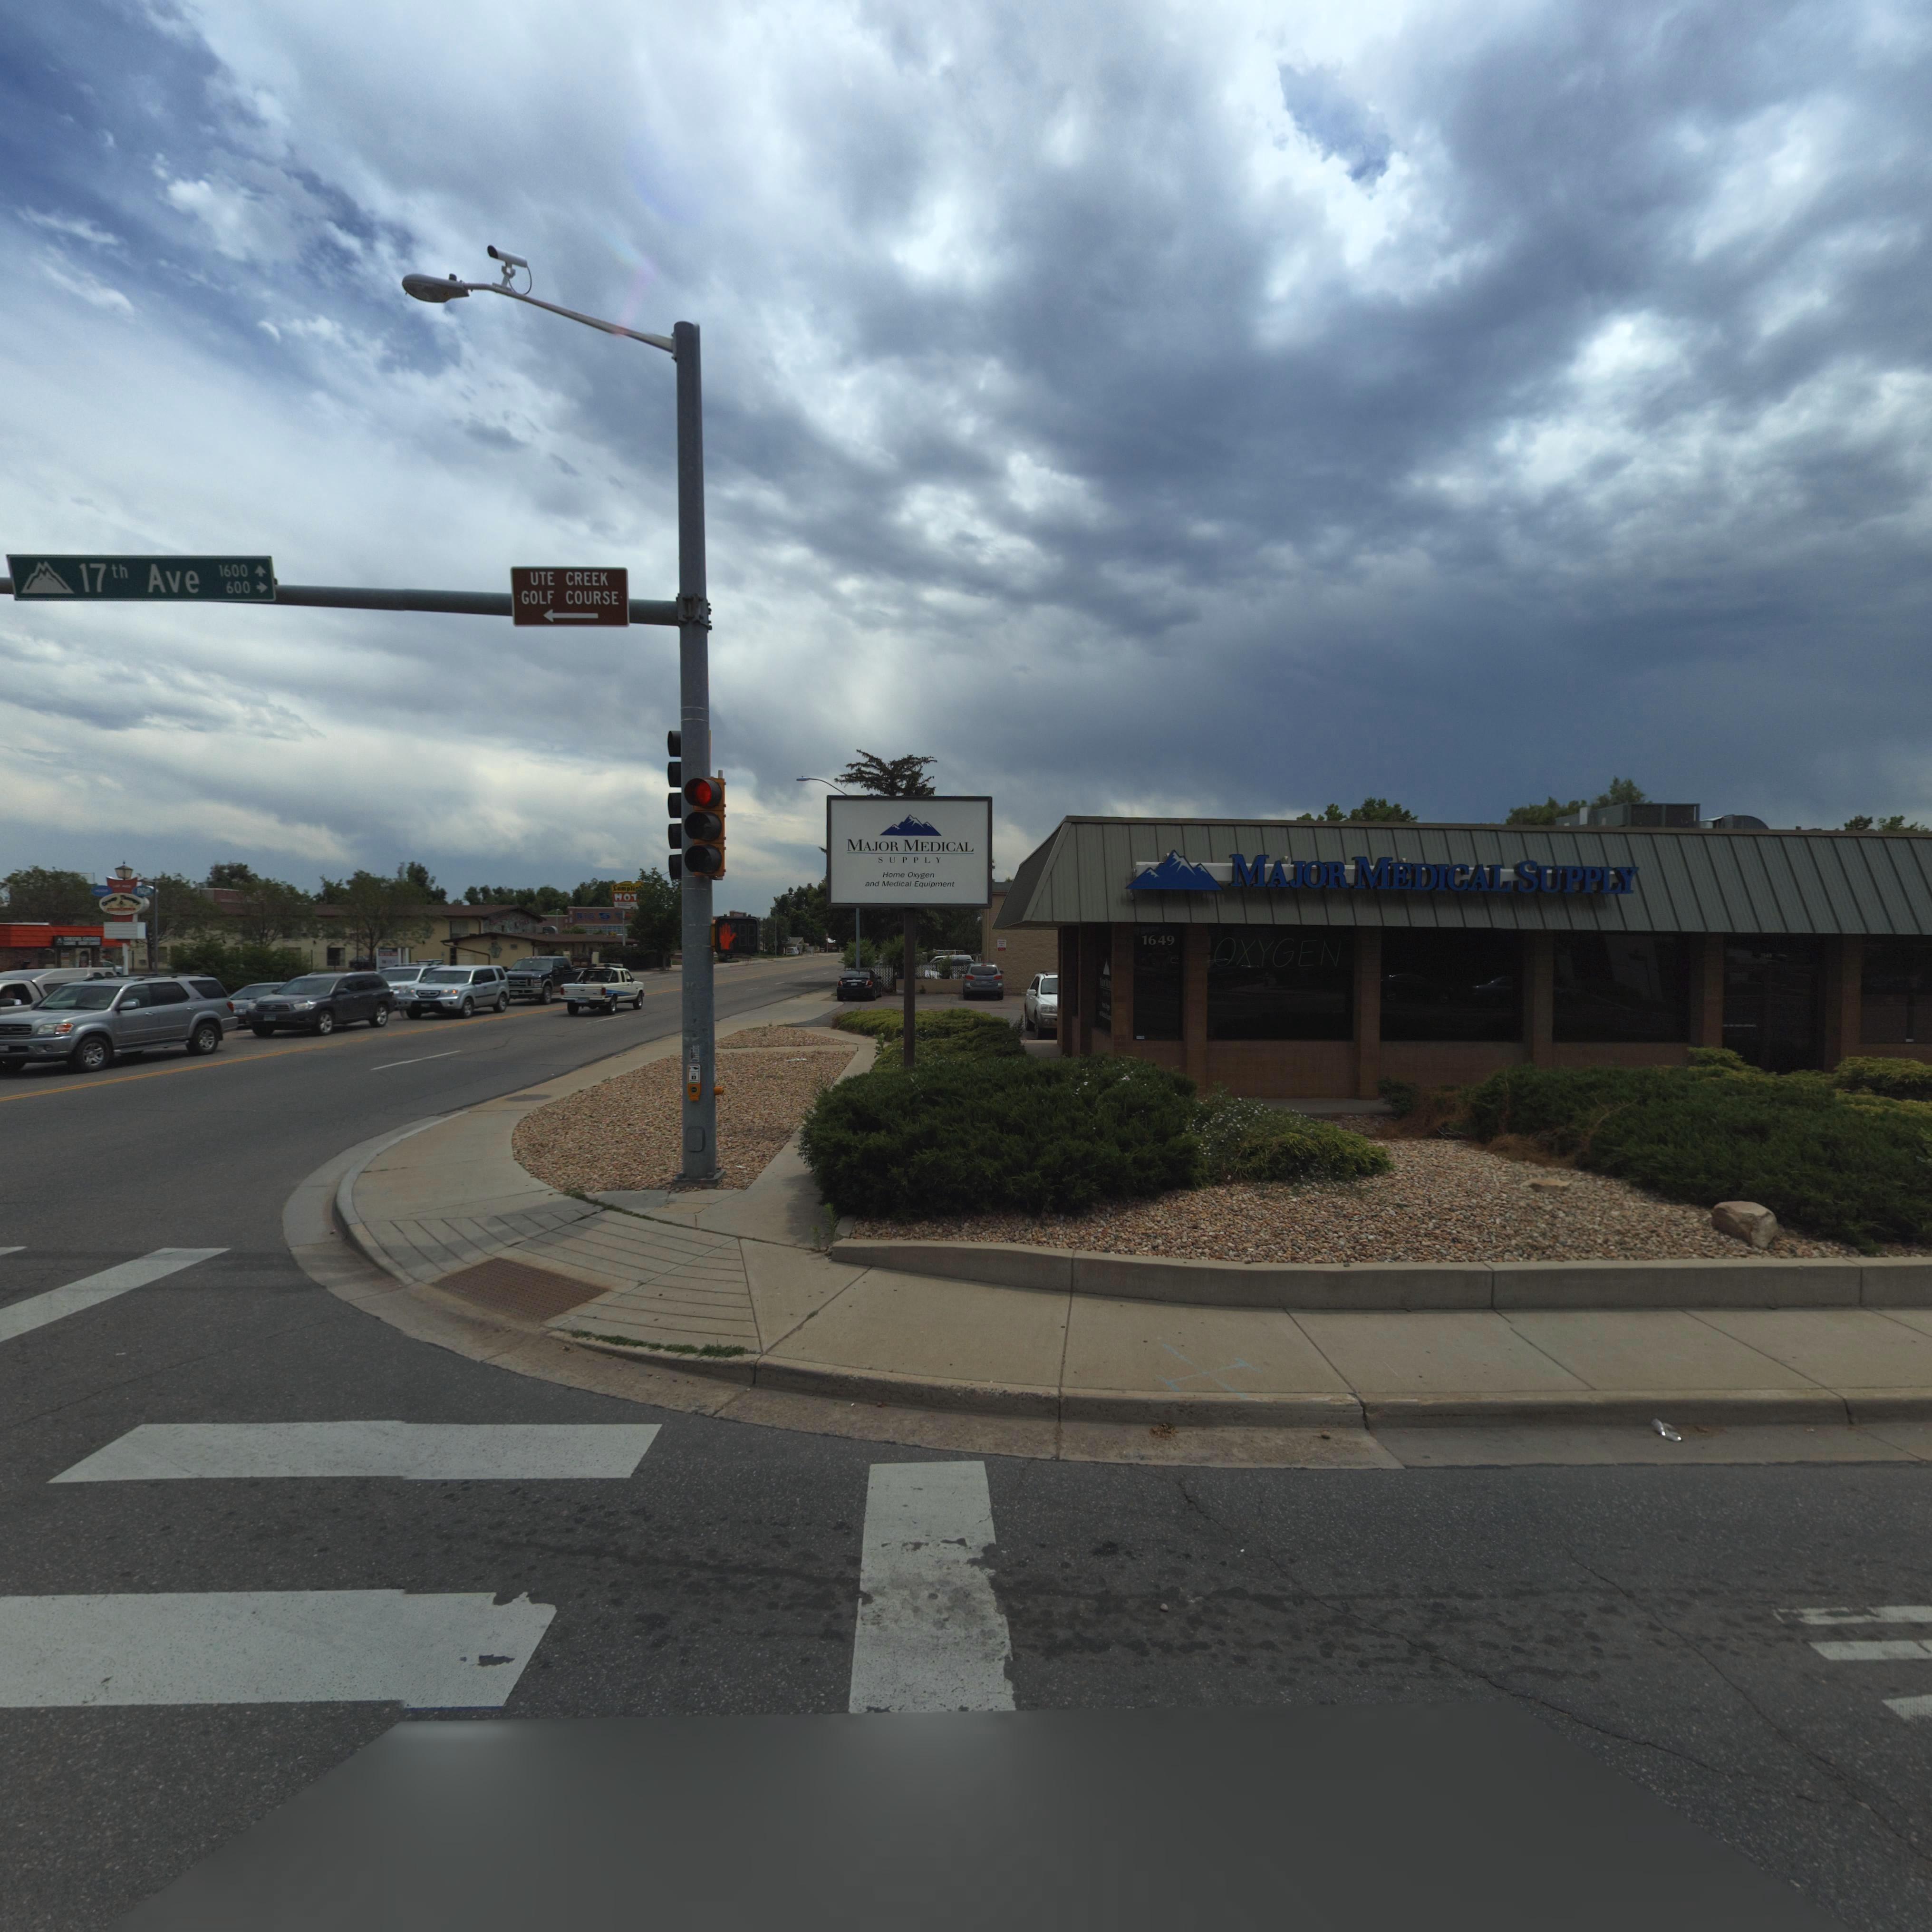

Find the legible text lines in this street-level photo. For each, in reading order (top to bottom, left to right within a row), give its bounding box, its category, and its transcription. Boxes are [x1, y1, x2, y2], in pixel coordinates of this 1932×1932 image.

[218, 563, 249, 578] StreetNumberRange: 1600
[78, 562, 201, 594] StreetName: 17th Ave
[225, 580, 269, 594] StreetNumberRange: 600->
[846, 838, 974, 852] BusinessName: MAJOR MEDICAL
[877, 856, 941, 863] BusinessName: SUPPLY
[1228, 853, 1641, 895] BusinessName: MAJOR MEDICAL SUPPLY
[612, 884, 635, 892] BusinessName: L**pli
[614, 893, 638, 901] BusinessName: *O*
[576, 912, 611, 920] BusinessName: *** 5
[1141, 935, 1175, 946] StreetNumber: 1649